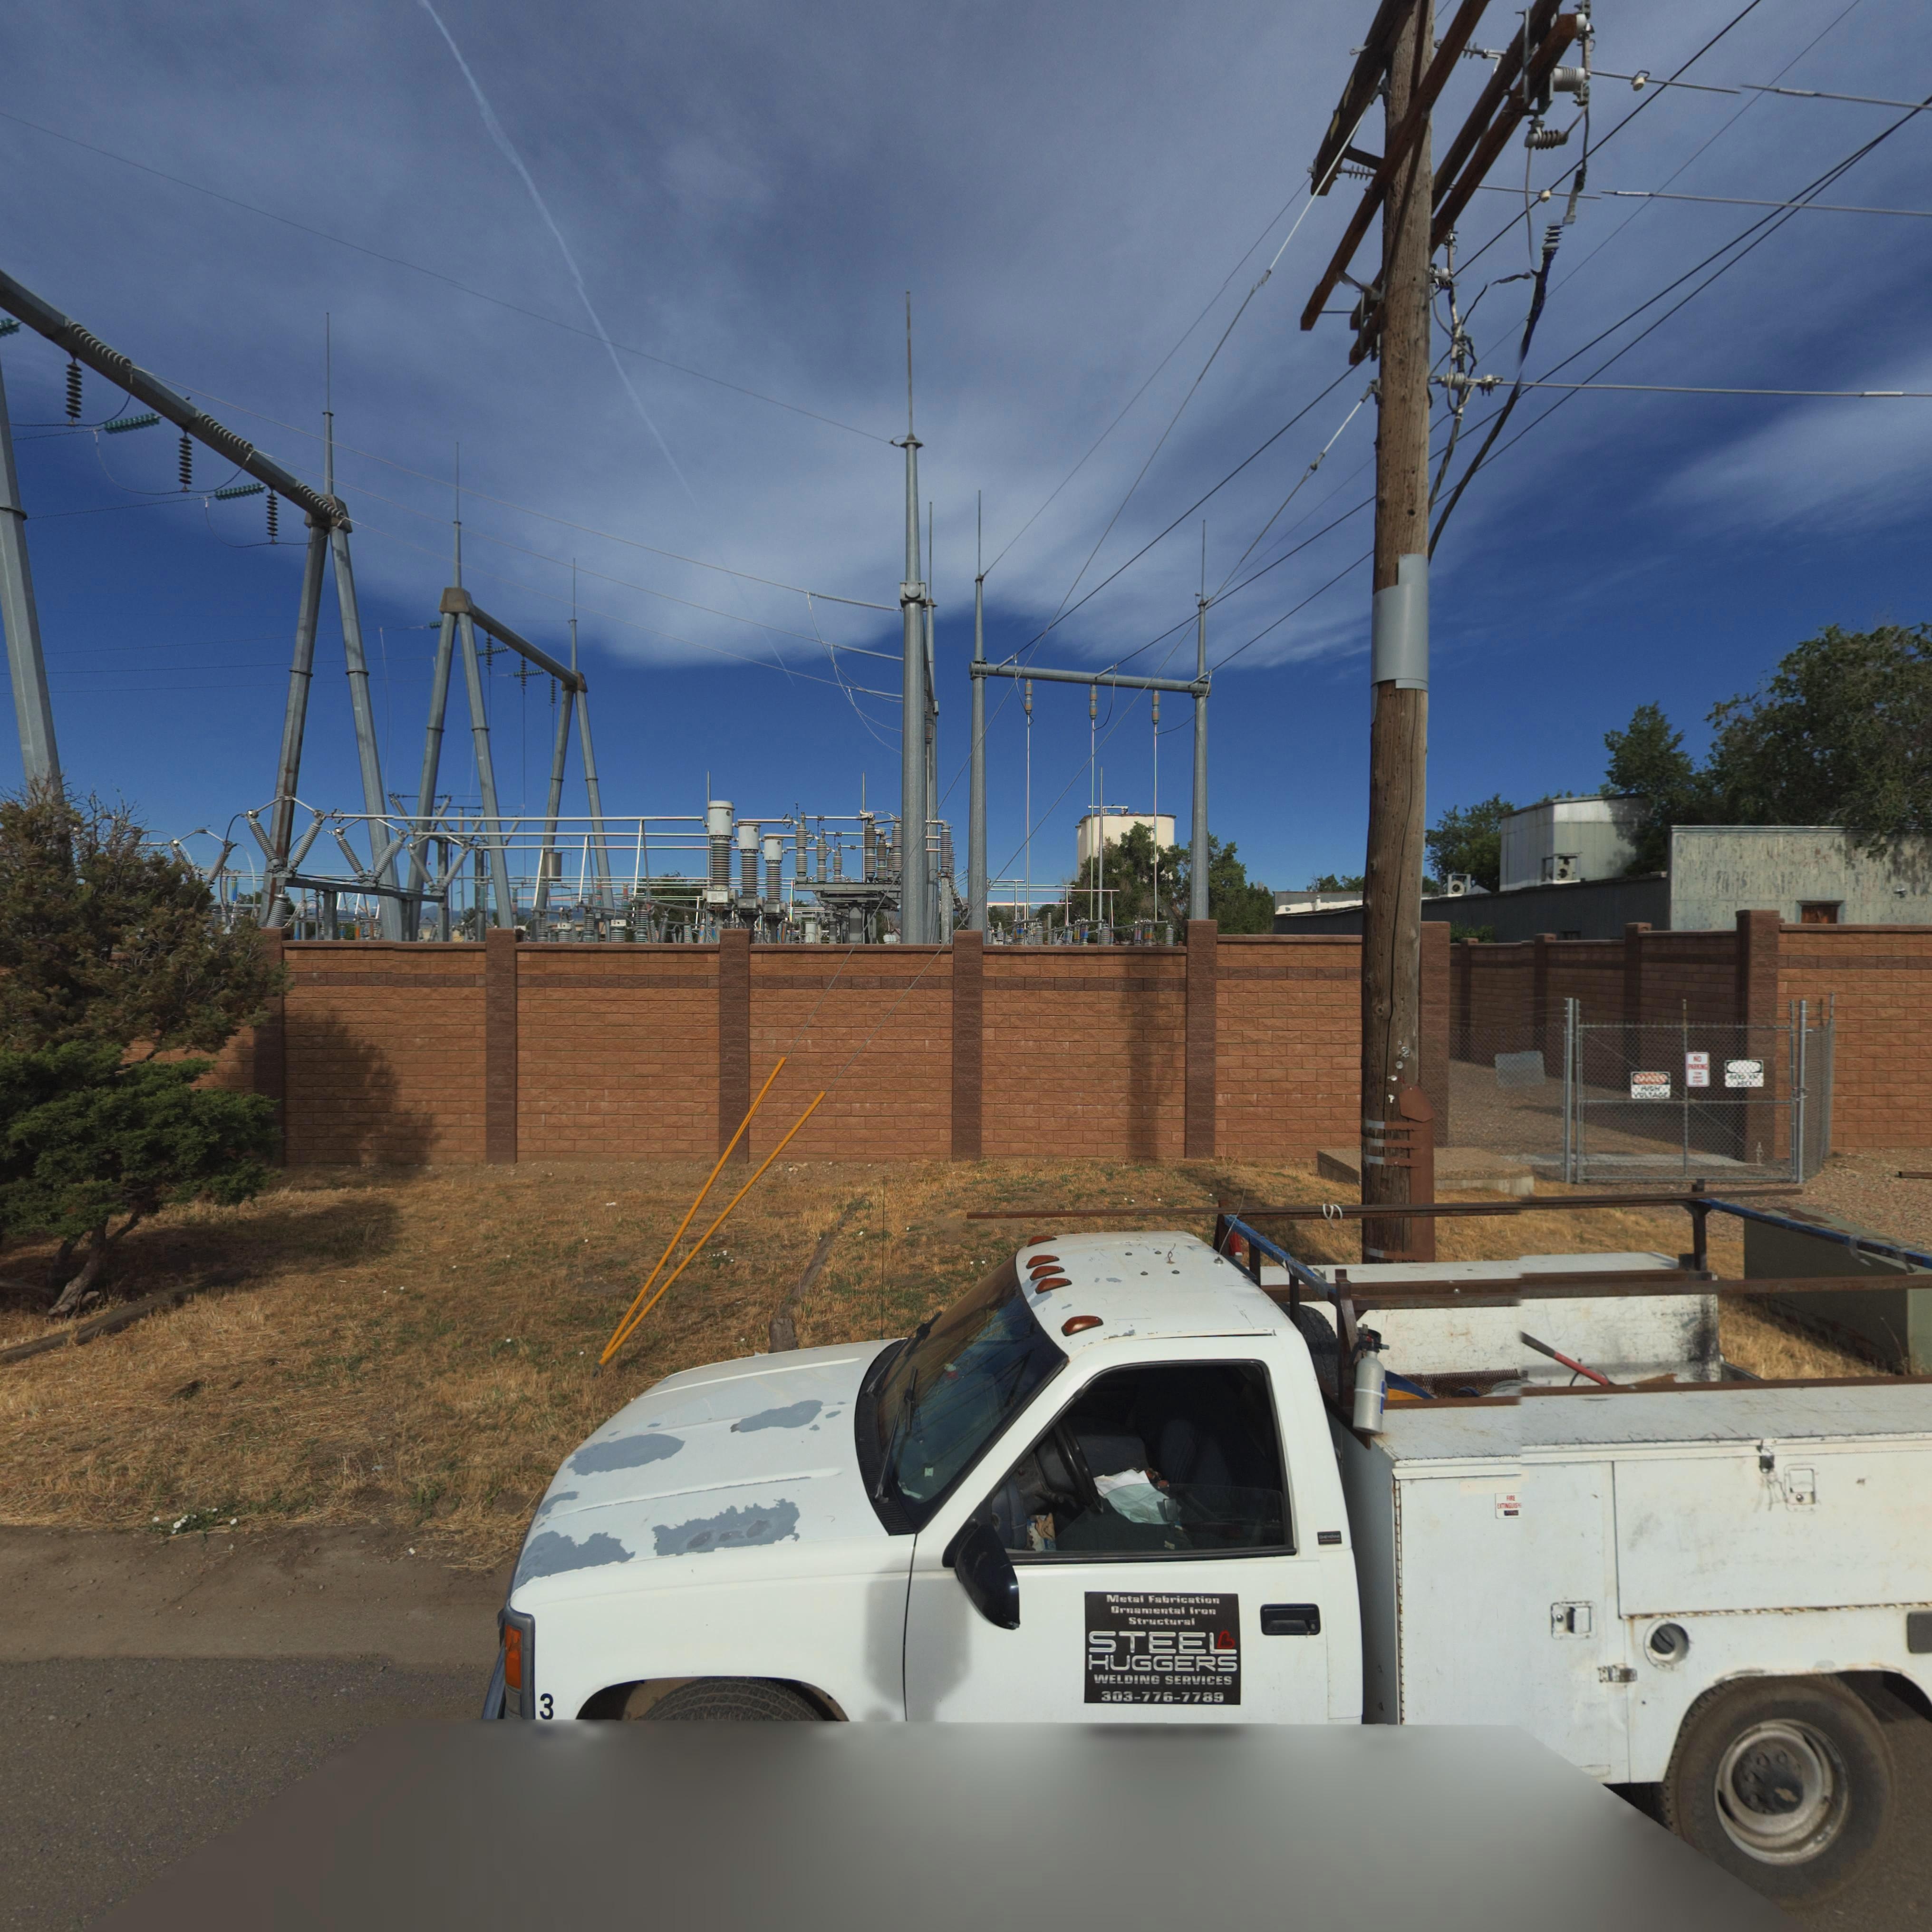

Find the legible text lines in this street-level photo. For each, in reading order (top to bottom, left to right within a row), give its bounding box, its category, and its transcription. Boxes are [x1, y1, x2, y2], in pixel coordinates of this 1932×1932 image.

[1089, 1631, 1237, 1655] BusinessName: STEEL
[1087, 1654, 1238, 1673] BusinessName: HUGGERS